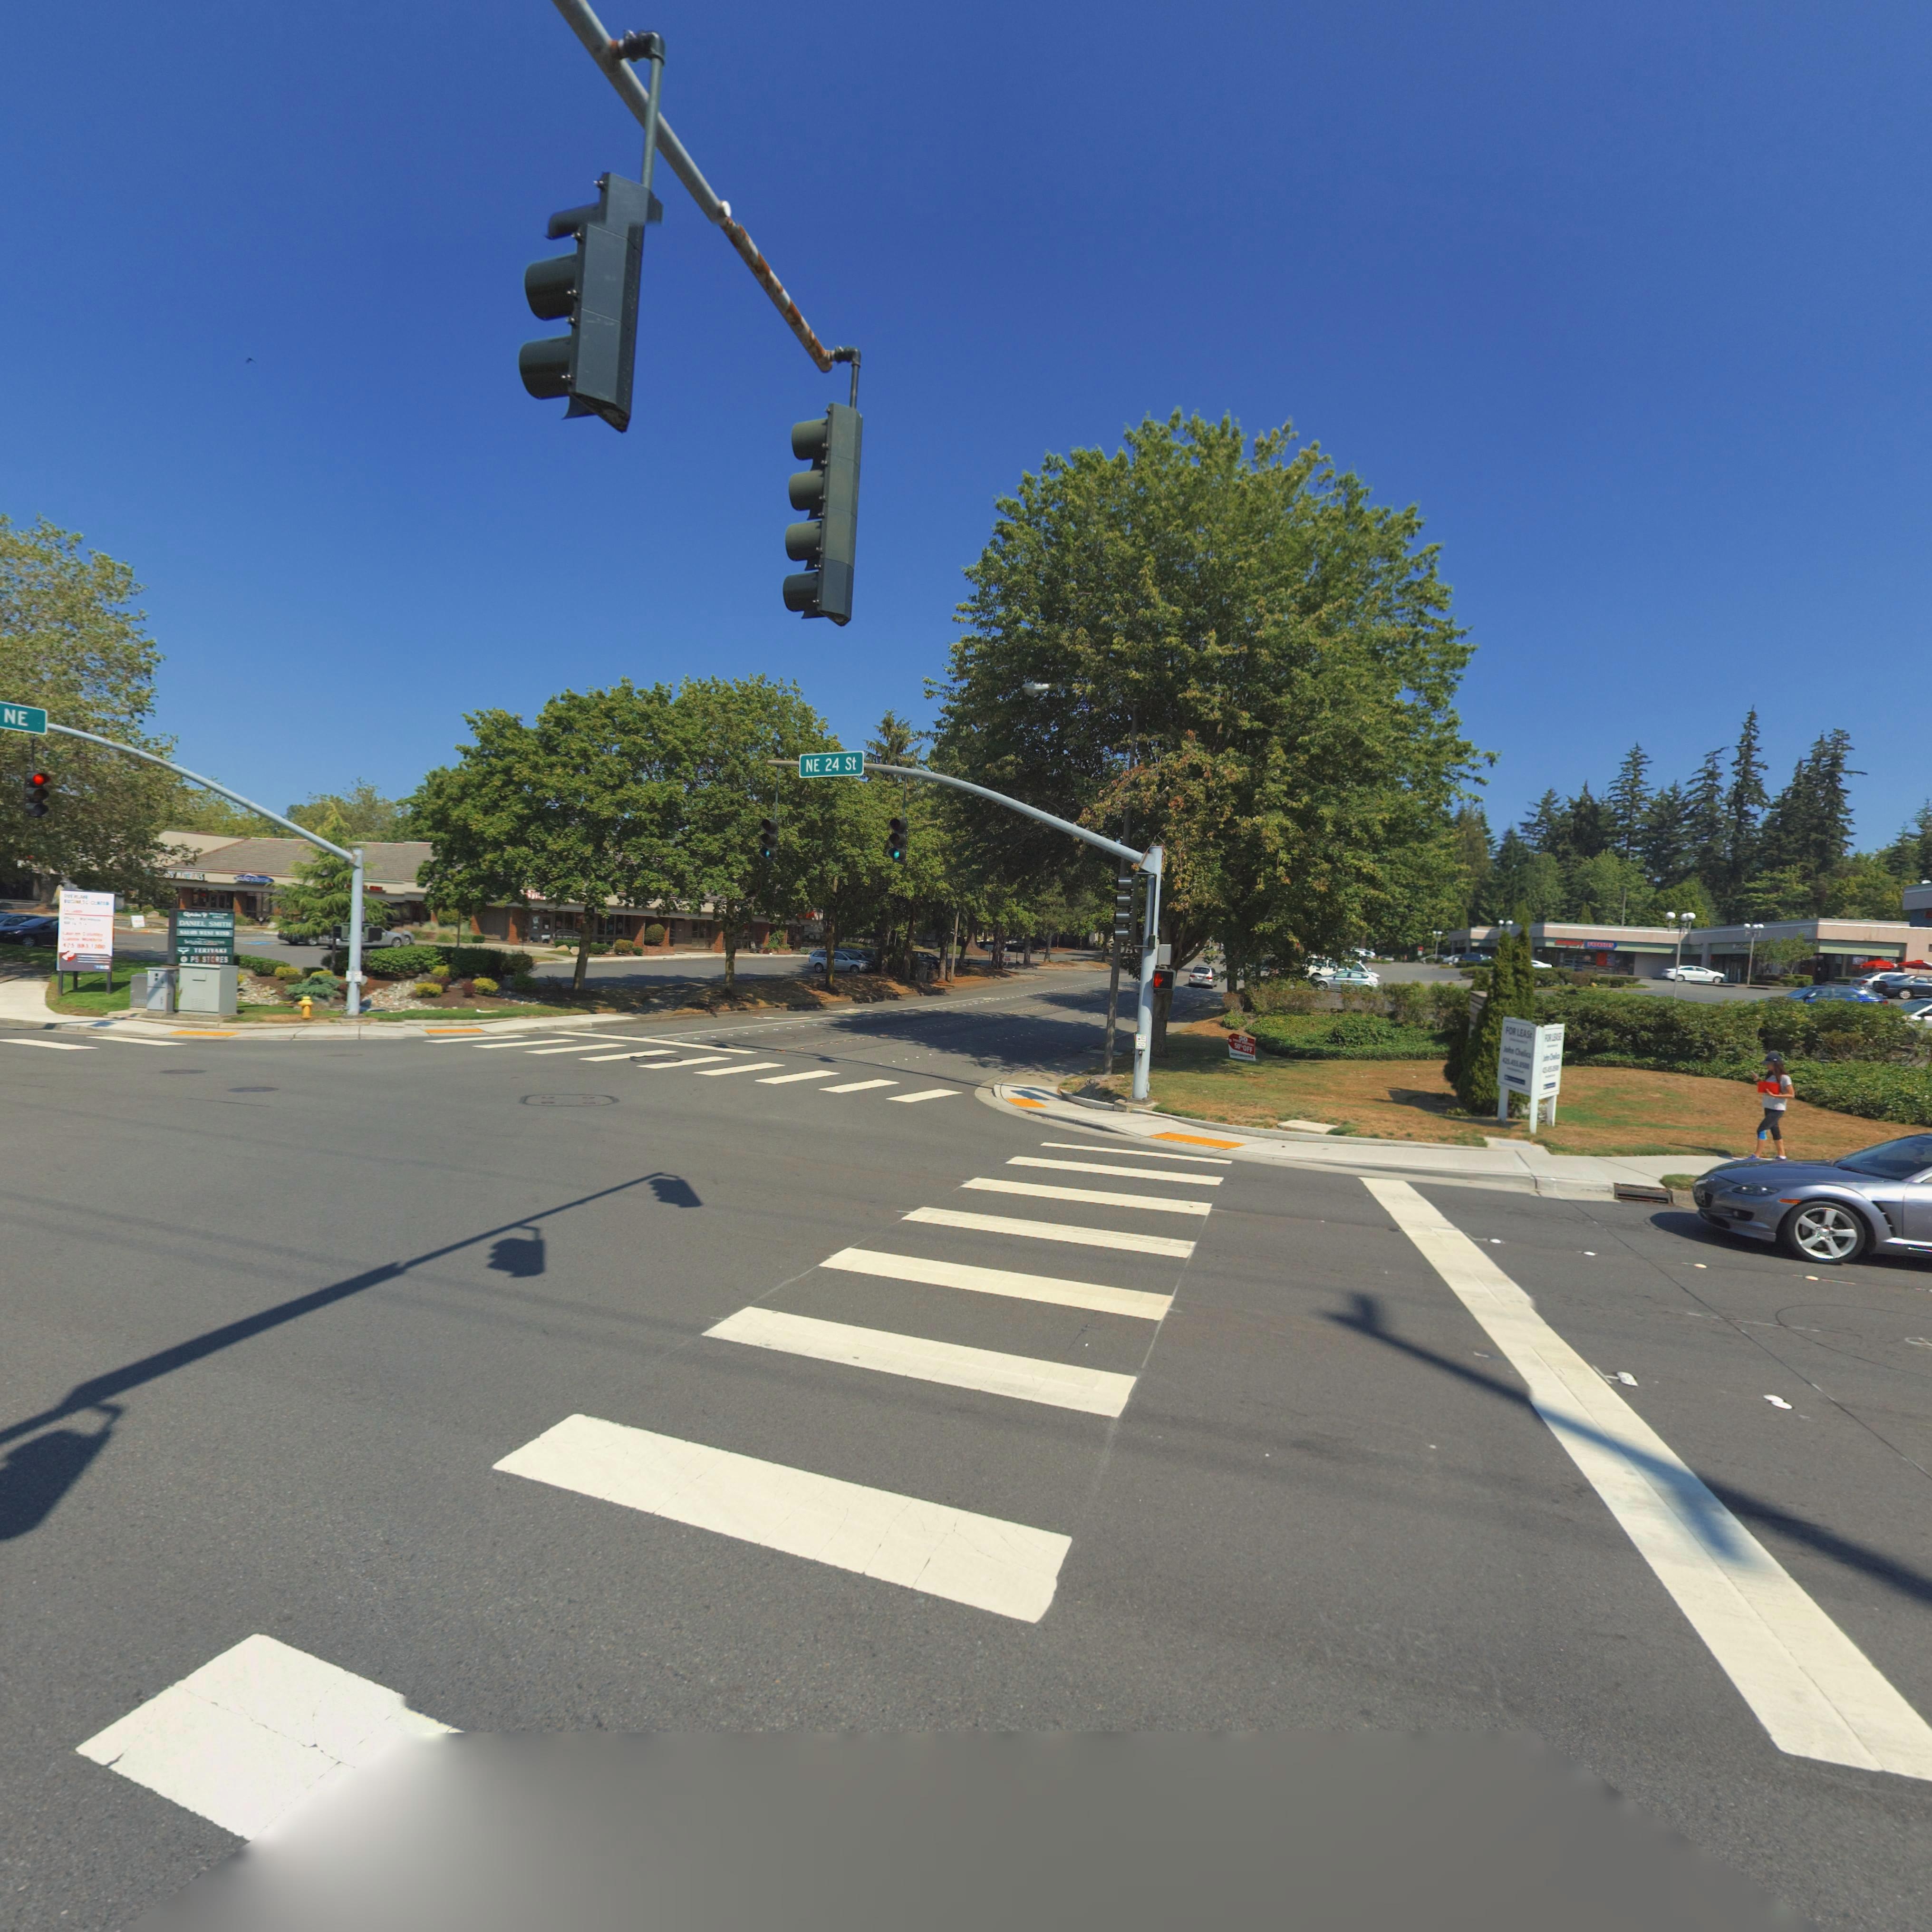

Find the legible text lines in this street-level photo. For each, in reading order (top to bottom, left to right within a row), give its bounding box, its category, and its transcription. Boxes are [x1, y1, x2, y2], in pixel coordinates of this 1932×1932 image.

[3, 706, 29, 727] StreetName: NE
[805, 757, 856, 772] StreetName: NE 24 St
[178, 919, 232, 928] BusinessName: DANIEL SMITH
[192, 946, 228, 954] BusinessName: TERIYAKI
[1504, 1024, 1533, 1042] BusinessName: FOR LEAS*
[1242, 1044, 1253, 1053] None: OFF